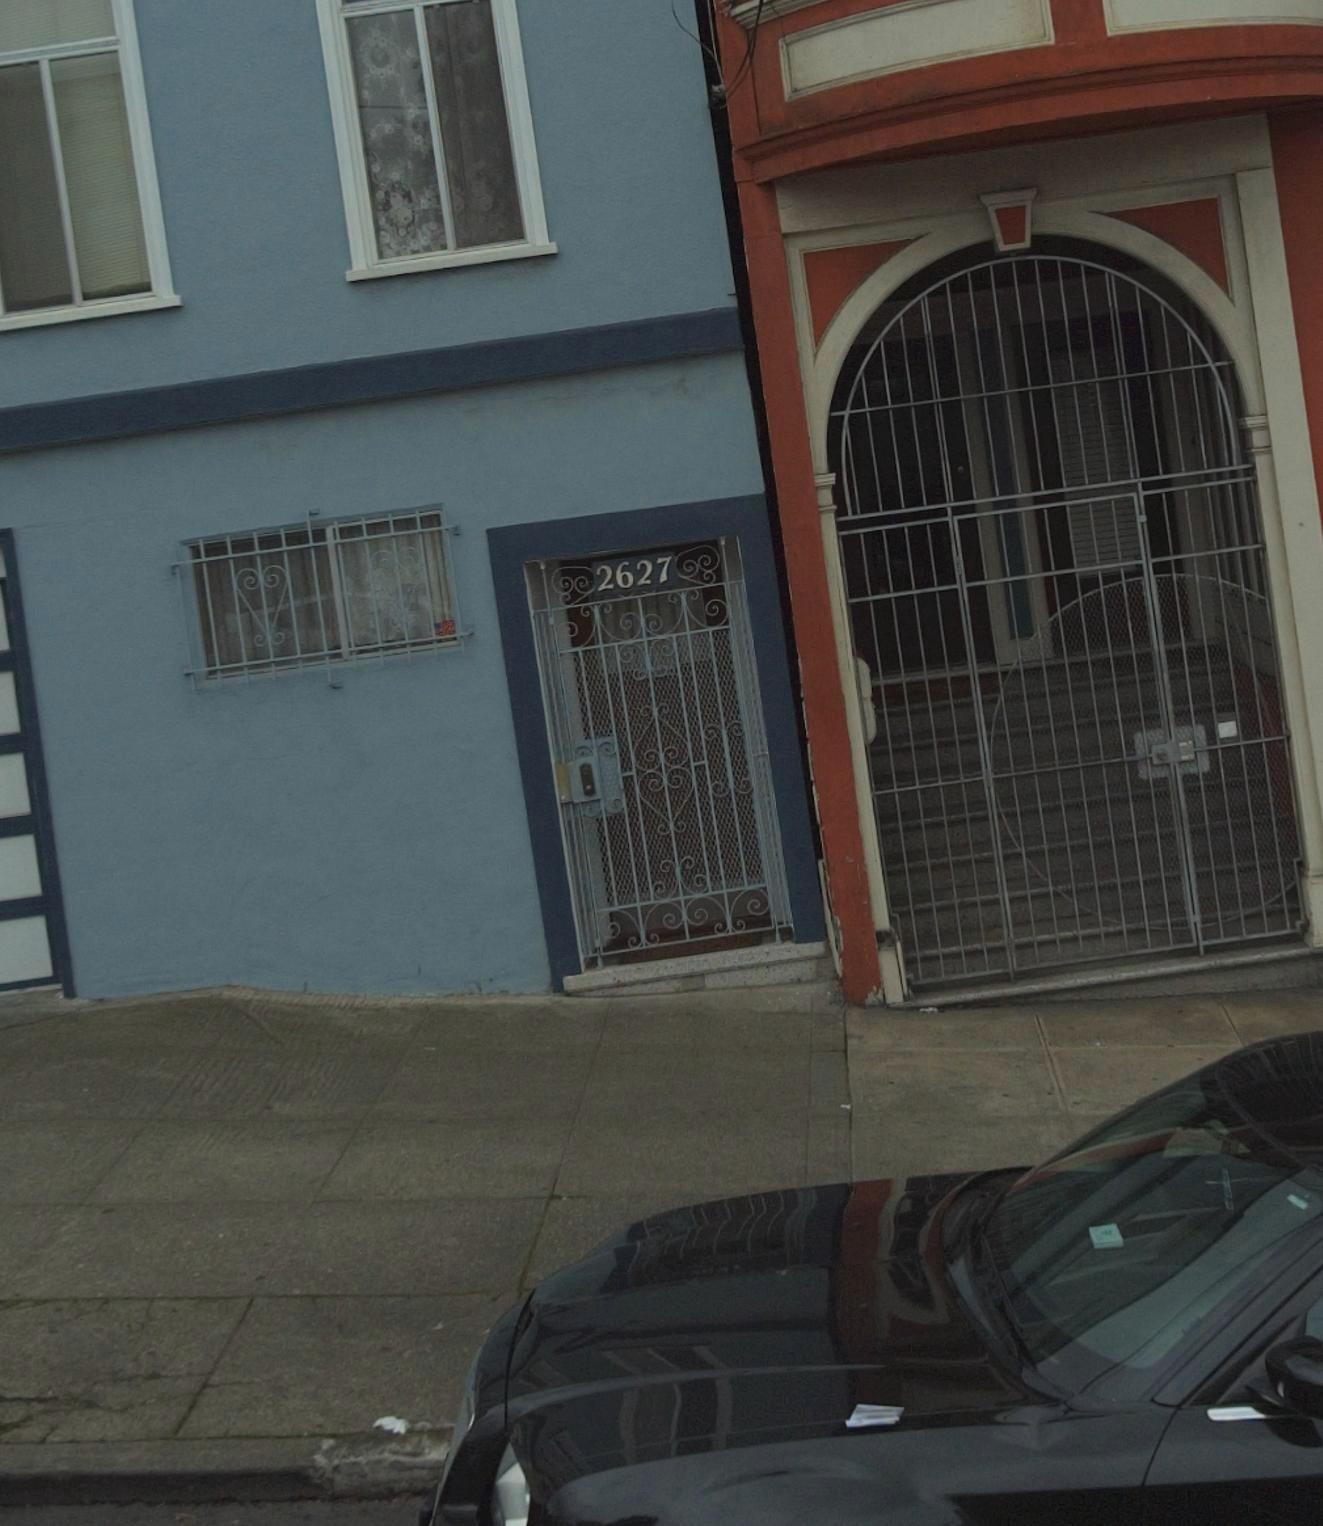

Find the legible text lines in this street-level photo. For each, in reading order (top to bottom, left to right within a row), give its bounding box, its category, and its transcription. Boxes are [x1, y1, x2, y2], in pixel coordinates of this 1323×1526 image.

[595, 553, 673, 594] StreetNumber: 2627